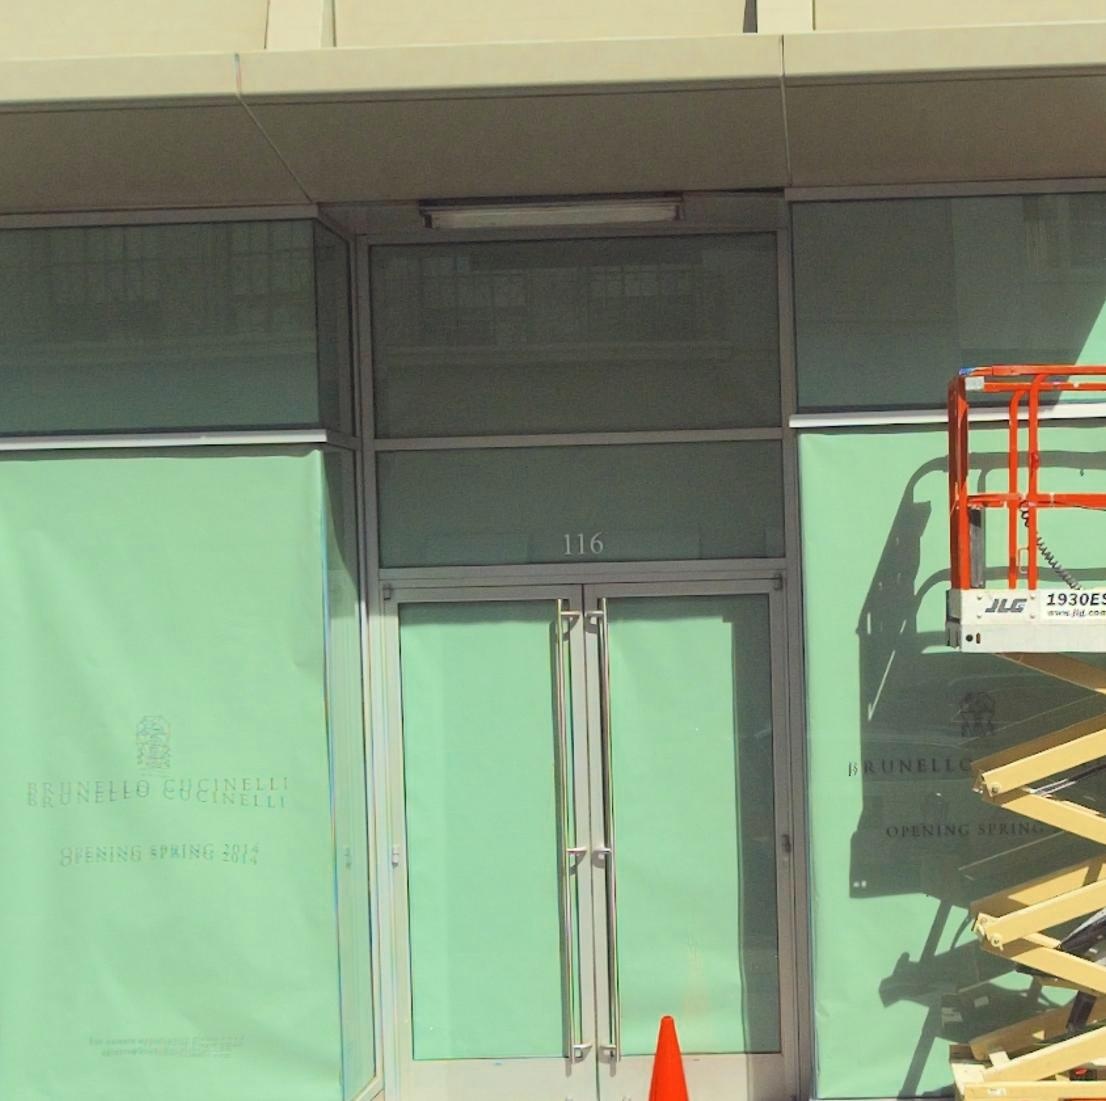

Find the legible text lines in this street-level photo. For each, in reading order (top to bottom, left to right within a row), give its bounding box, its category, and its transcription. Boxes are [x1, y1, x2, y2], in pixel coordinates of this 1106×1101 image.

[561, 530, 605, 556] StreetNumber: 116
[982, 597, 1030, 613] None: JL*
[1045, 591, 1102, 606] None: 1930E
[844, 756, 956, 777] None: BRUNELL
[884, 820, 1031, 838] None: OPENING SPRIN